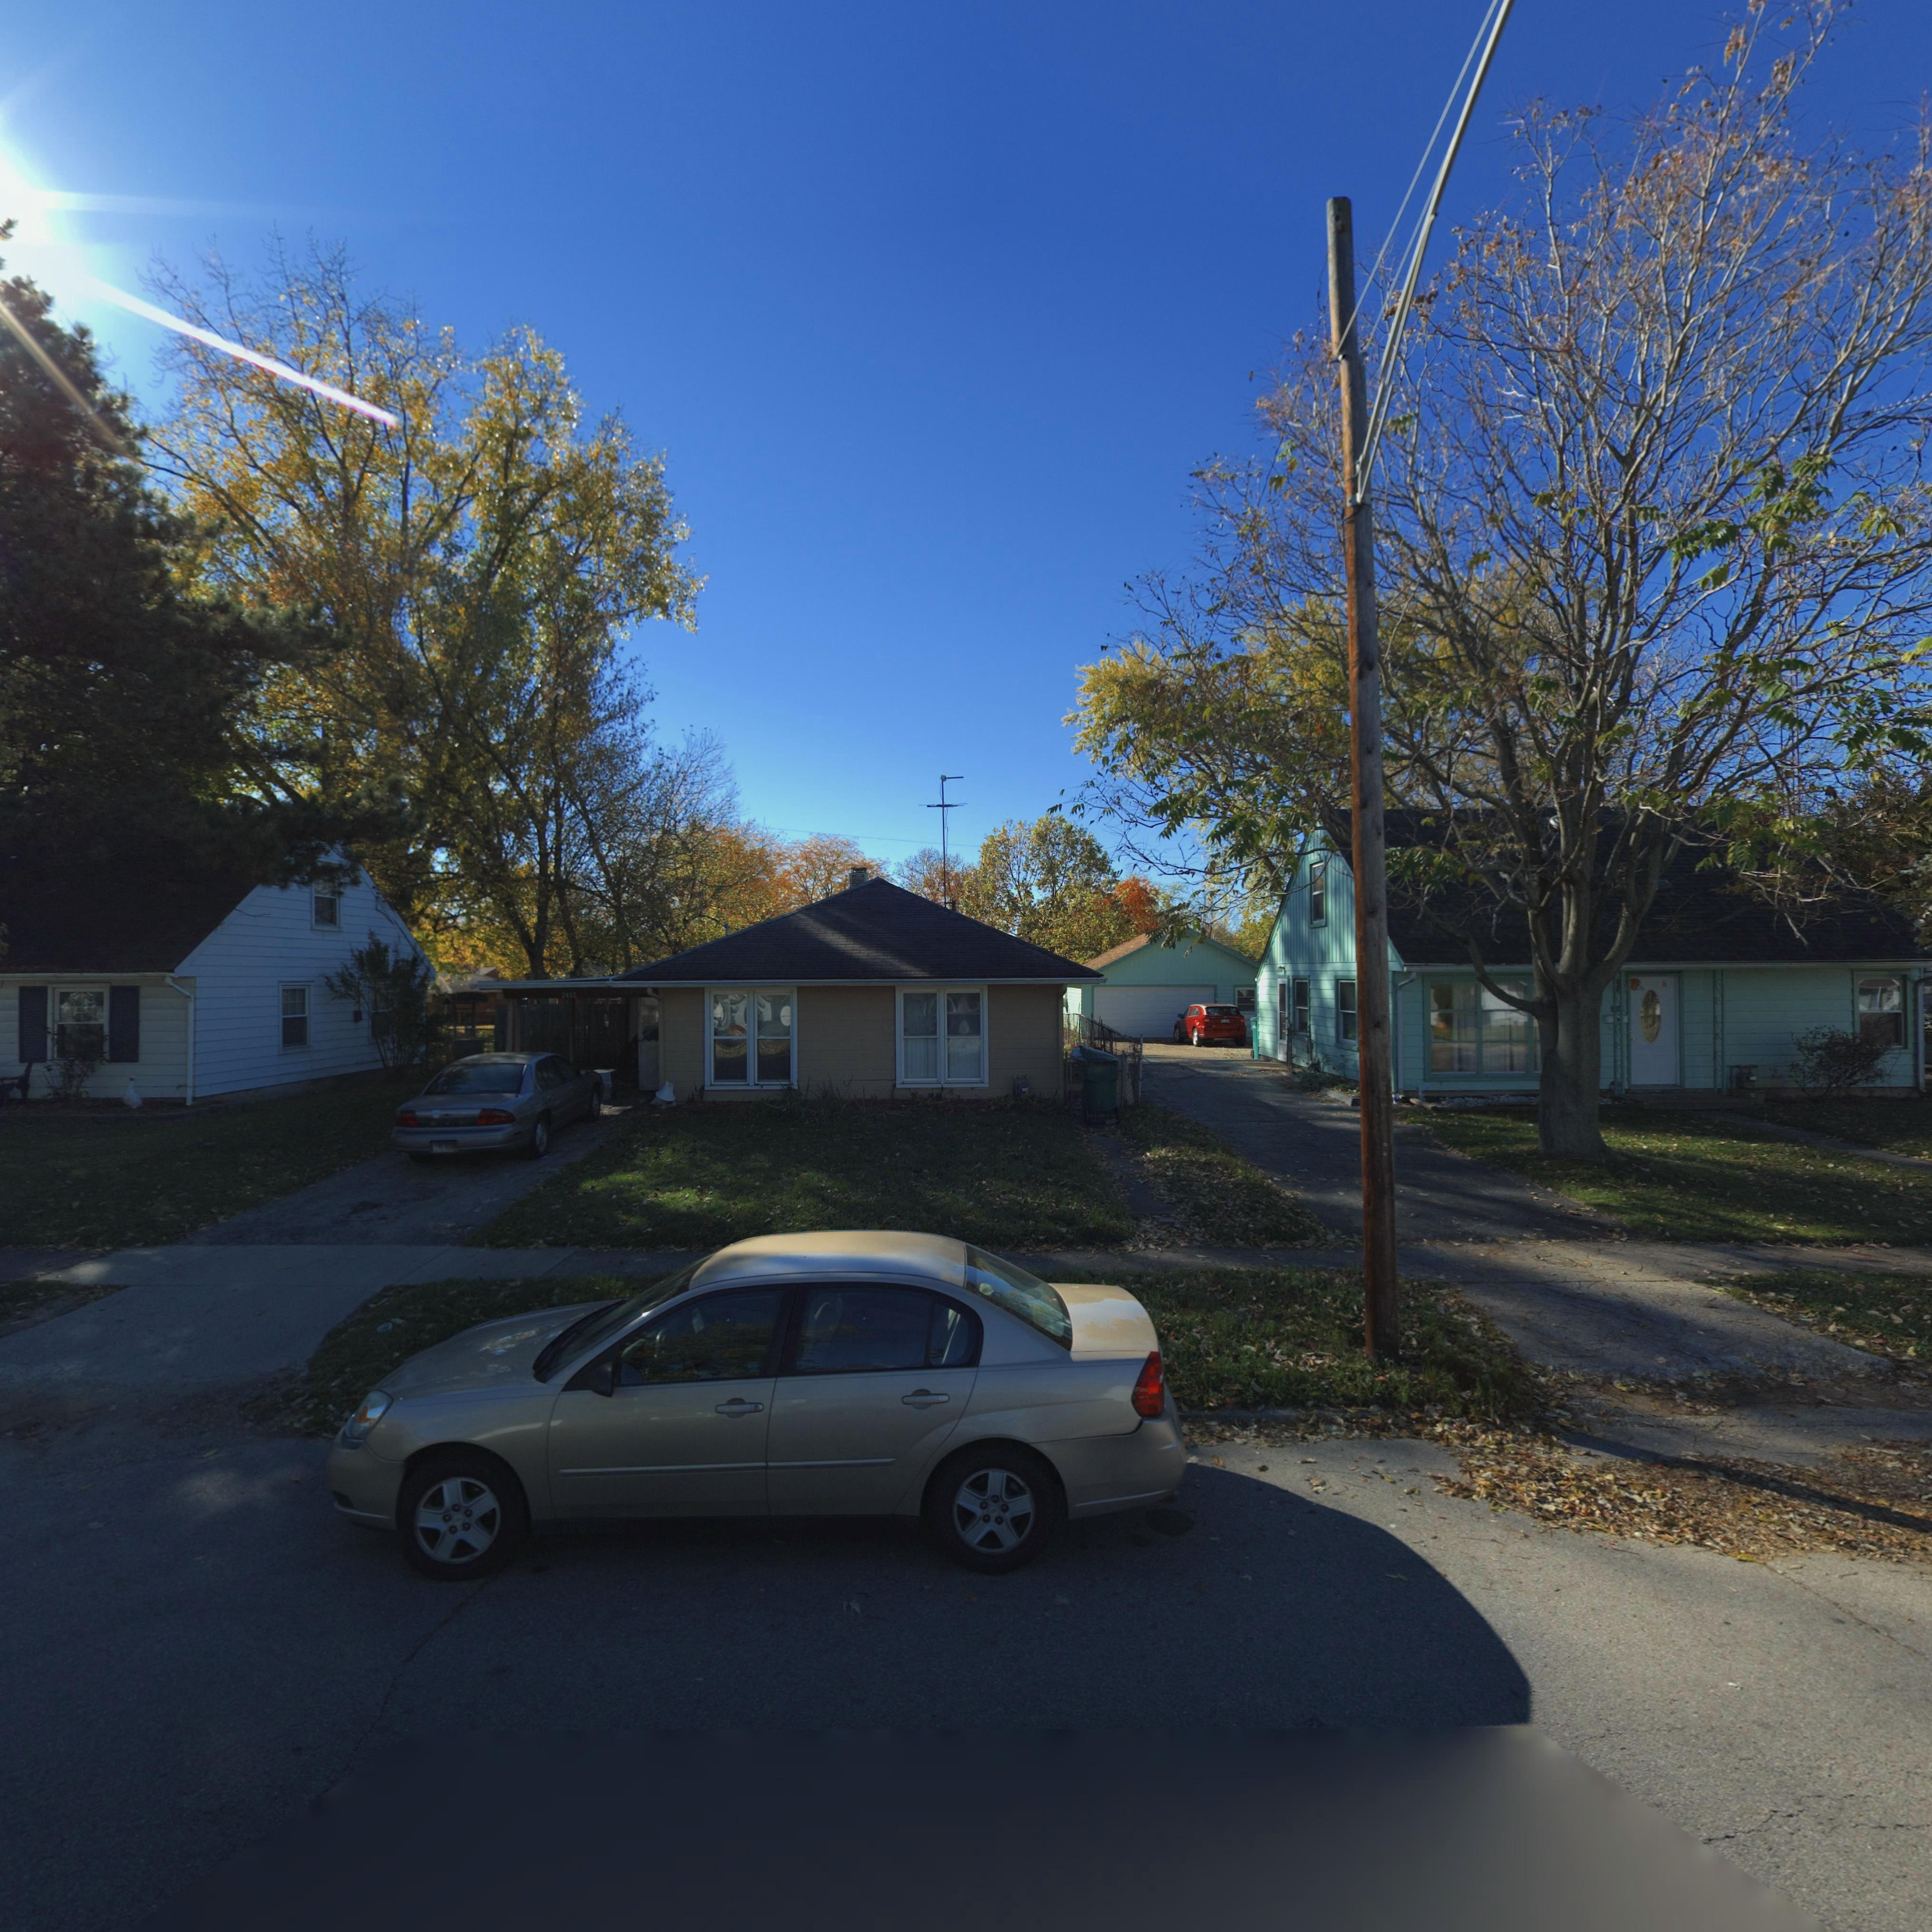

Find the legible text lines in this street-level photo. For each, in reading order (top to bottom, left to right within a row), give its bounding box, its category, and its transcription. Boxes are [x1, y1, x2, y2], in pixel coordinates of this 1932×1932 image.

[561, 991, 578, 999] StreetNumber: 243*